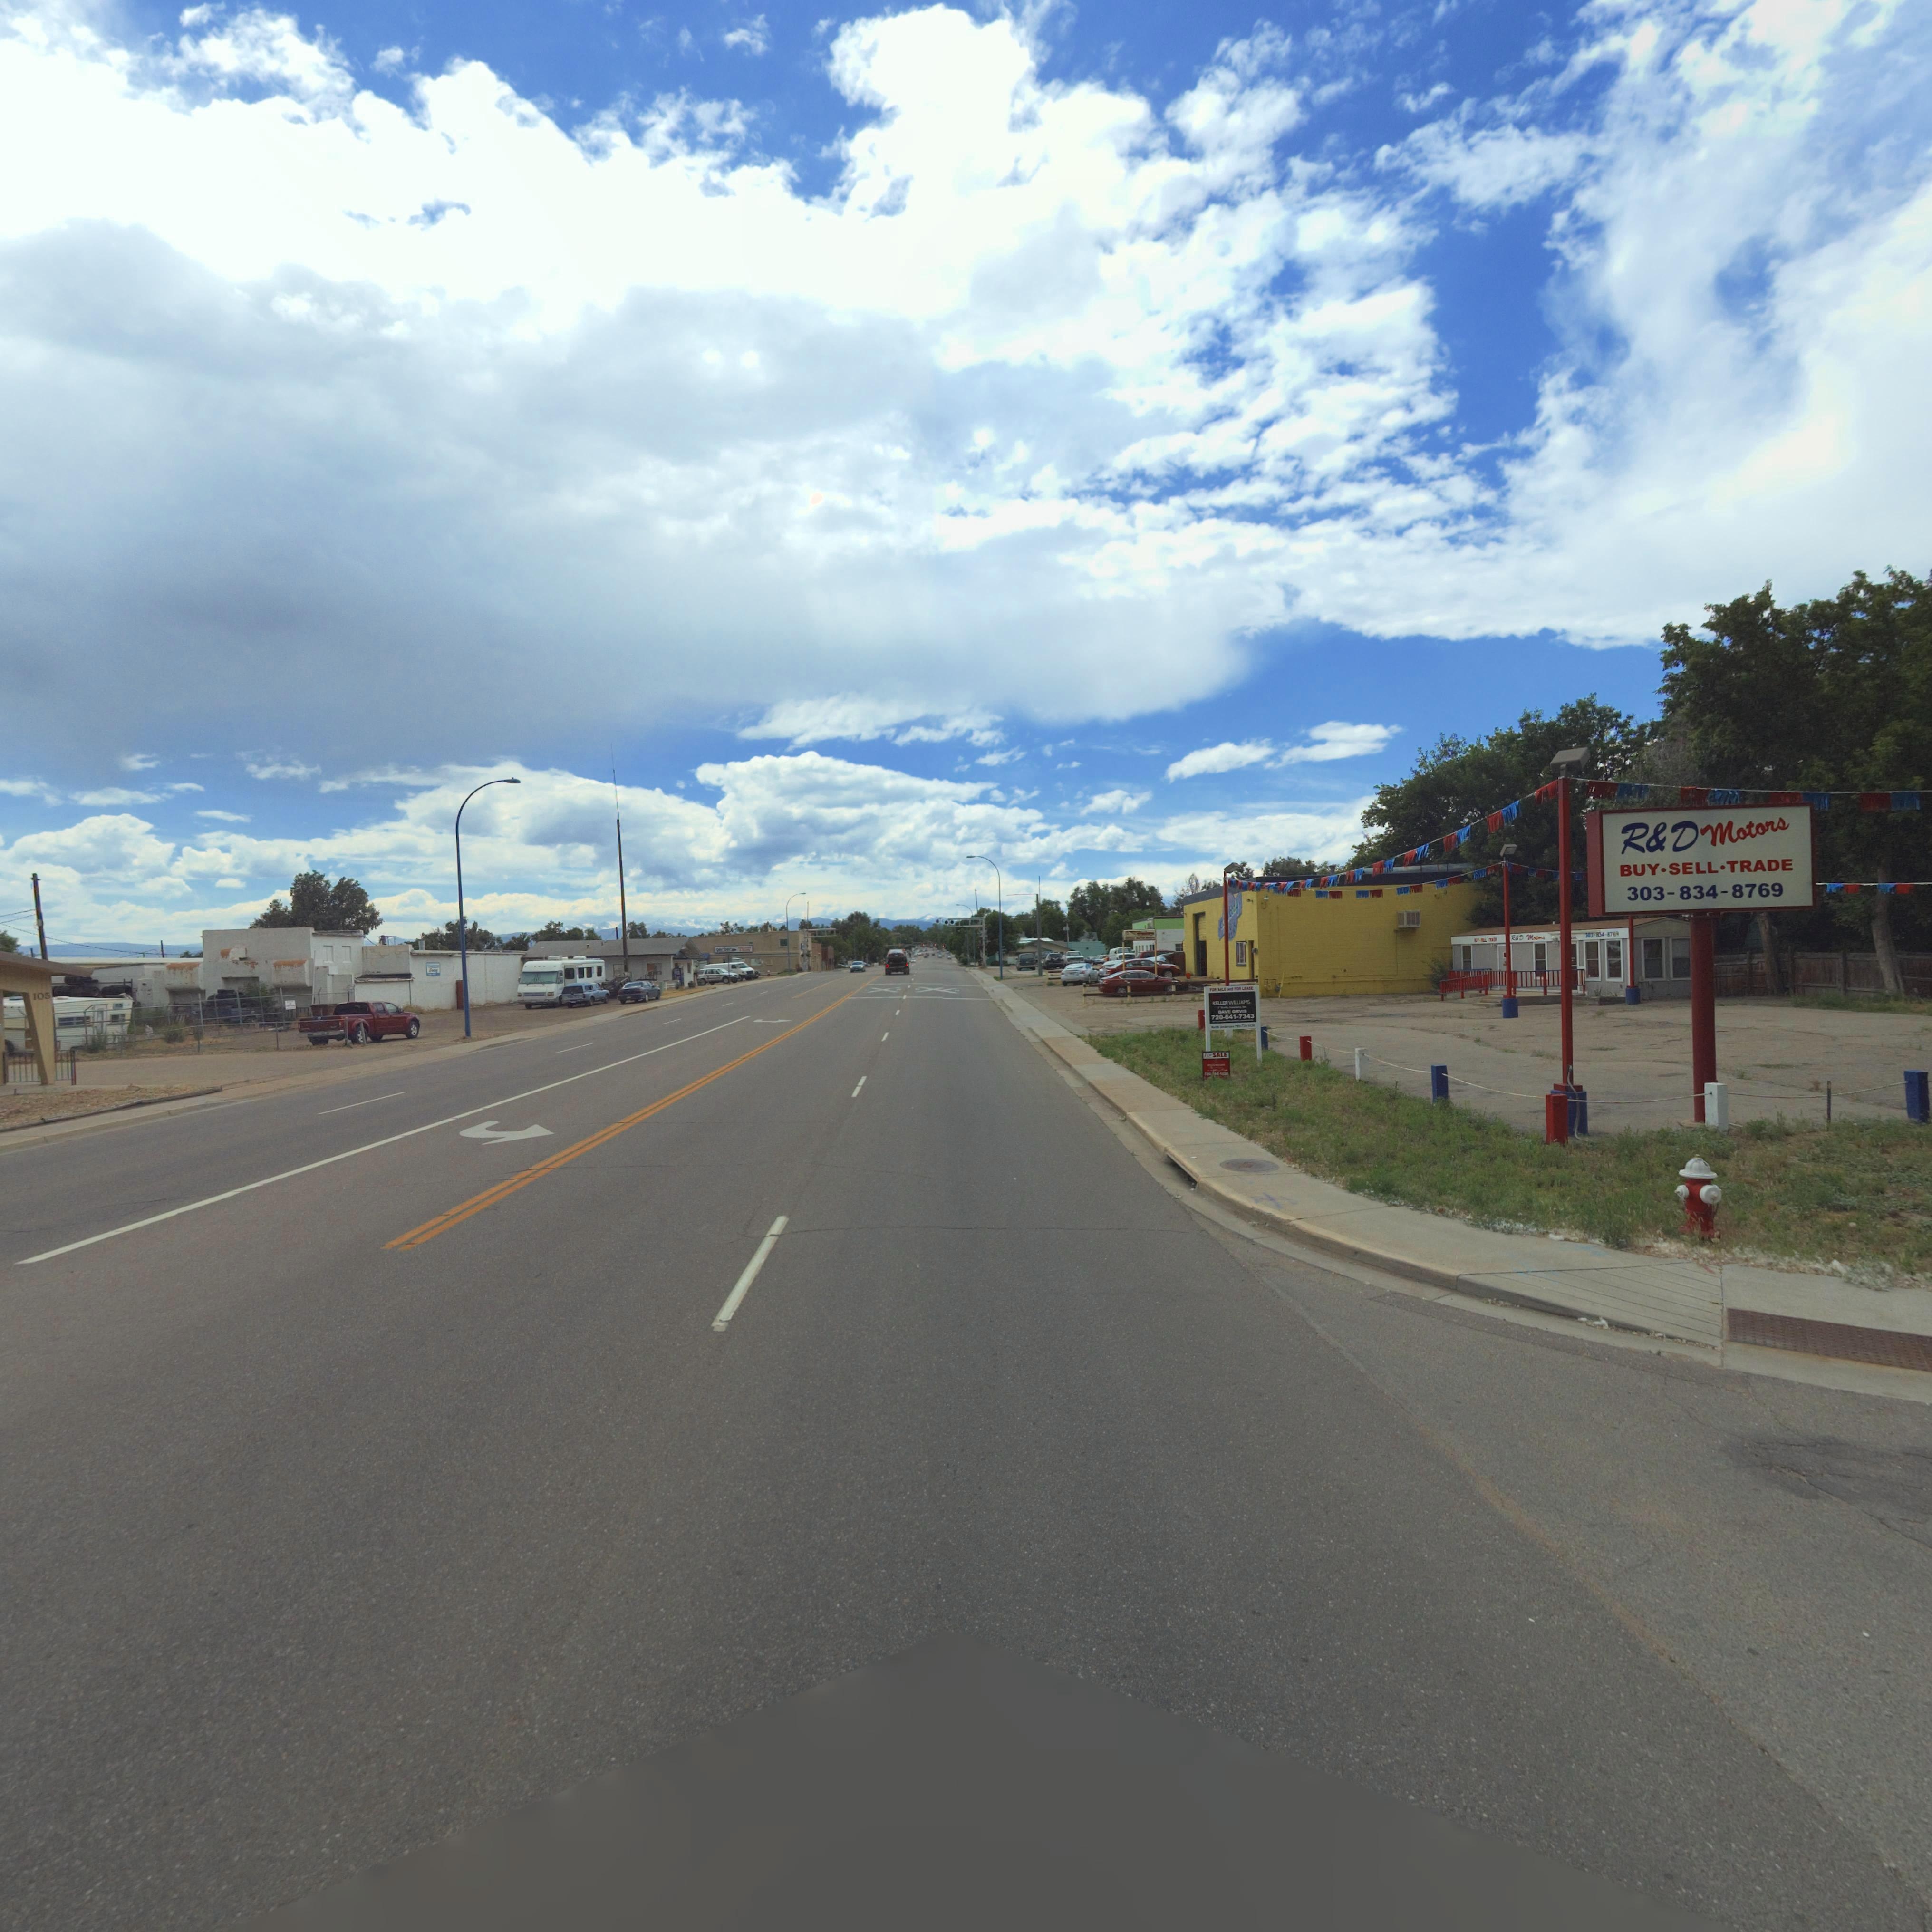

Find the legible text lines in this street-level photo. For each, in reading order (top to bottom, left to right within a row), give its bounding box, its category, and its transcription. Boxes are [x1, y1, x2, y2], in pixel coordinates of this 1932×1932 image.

[1699, 815, 1790, 847] BusinessName: Motors
[1620, 820, 1699, 855] BusinessName: R*D
[1510, 934, 1524, 941] BusinessName: R*D
[1525, 933, 1546, 940] BusinessName: Motors
[32, 991, 51, 1000] StreetNumber: 105